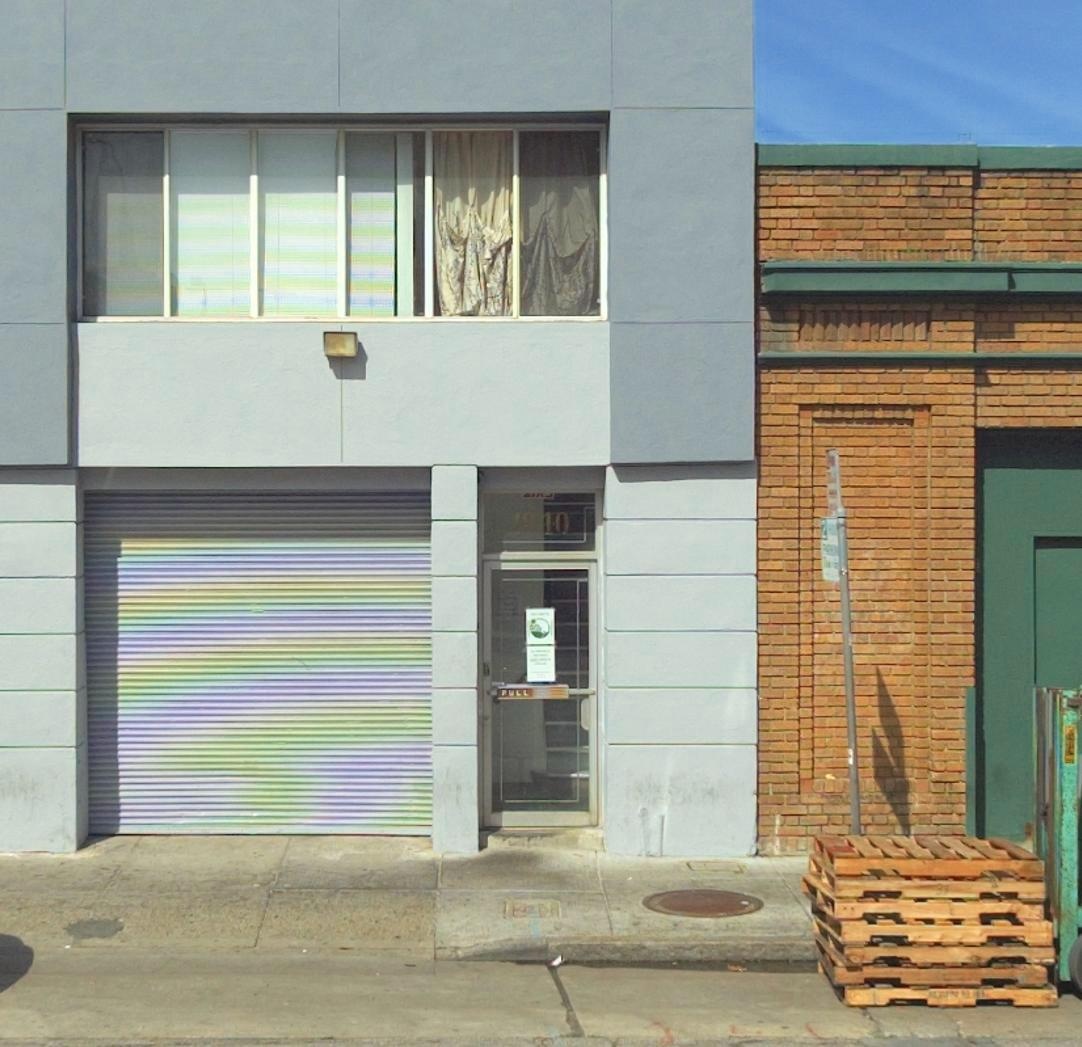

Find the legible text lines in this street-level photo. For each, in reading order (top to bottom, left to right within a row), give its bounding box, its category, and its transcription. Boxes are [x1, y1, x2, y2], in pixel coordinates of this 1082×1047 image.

[503, 507, 574, 540] StreetNumber: 1040
[819, 518, 828, 543] None: 2
[500, 688, 530, 699] None: PULL